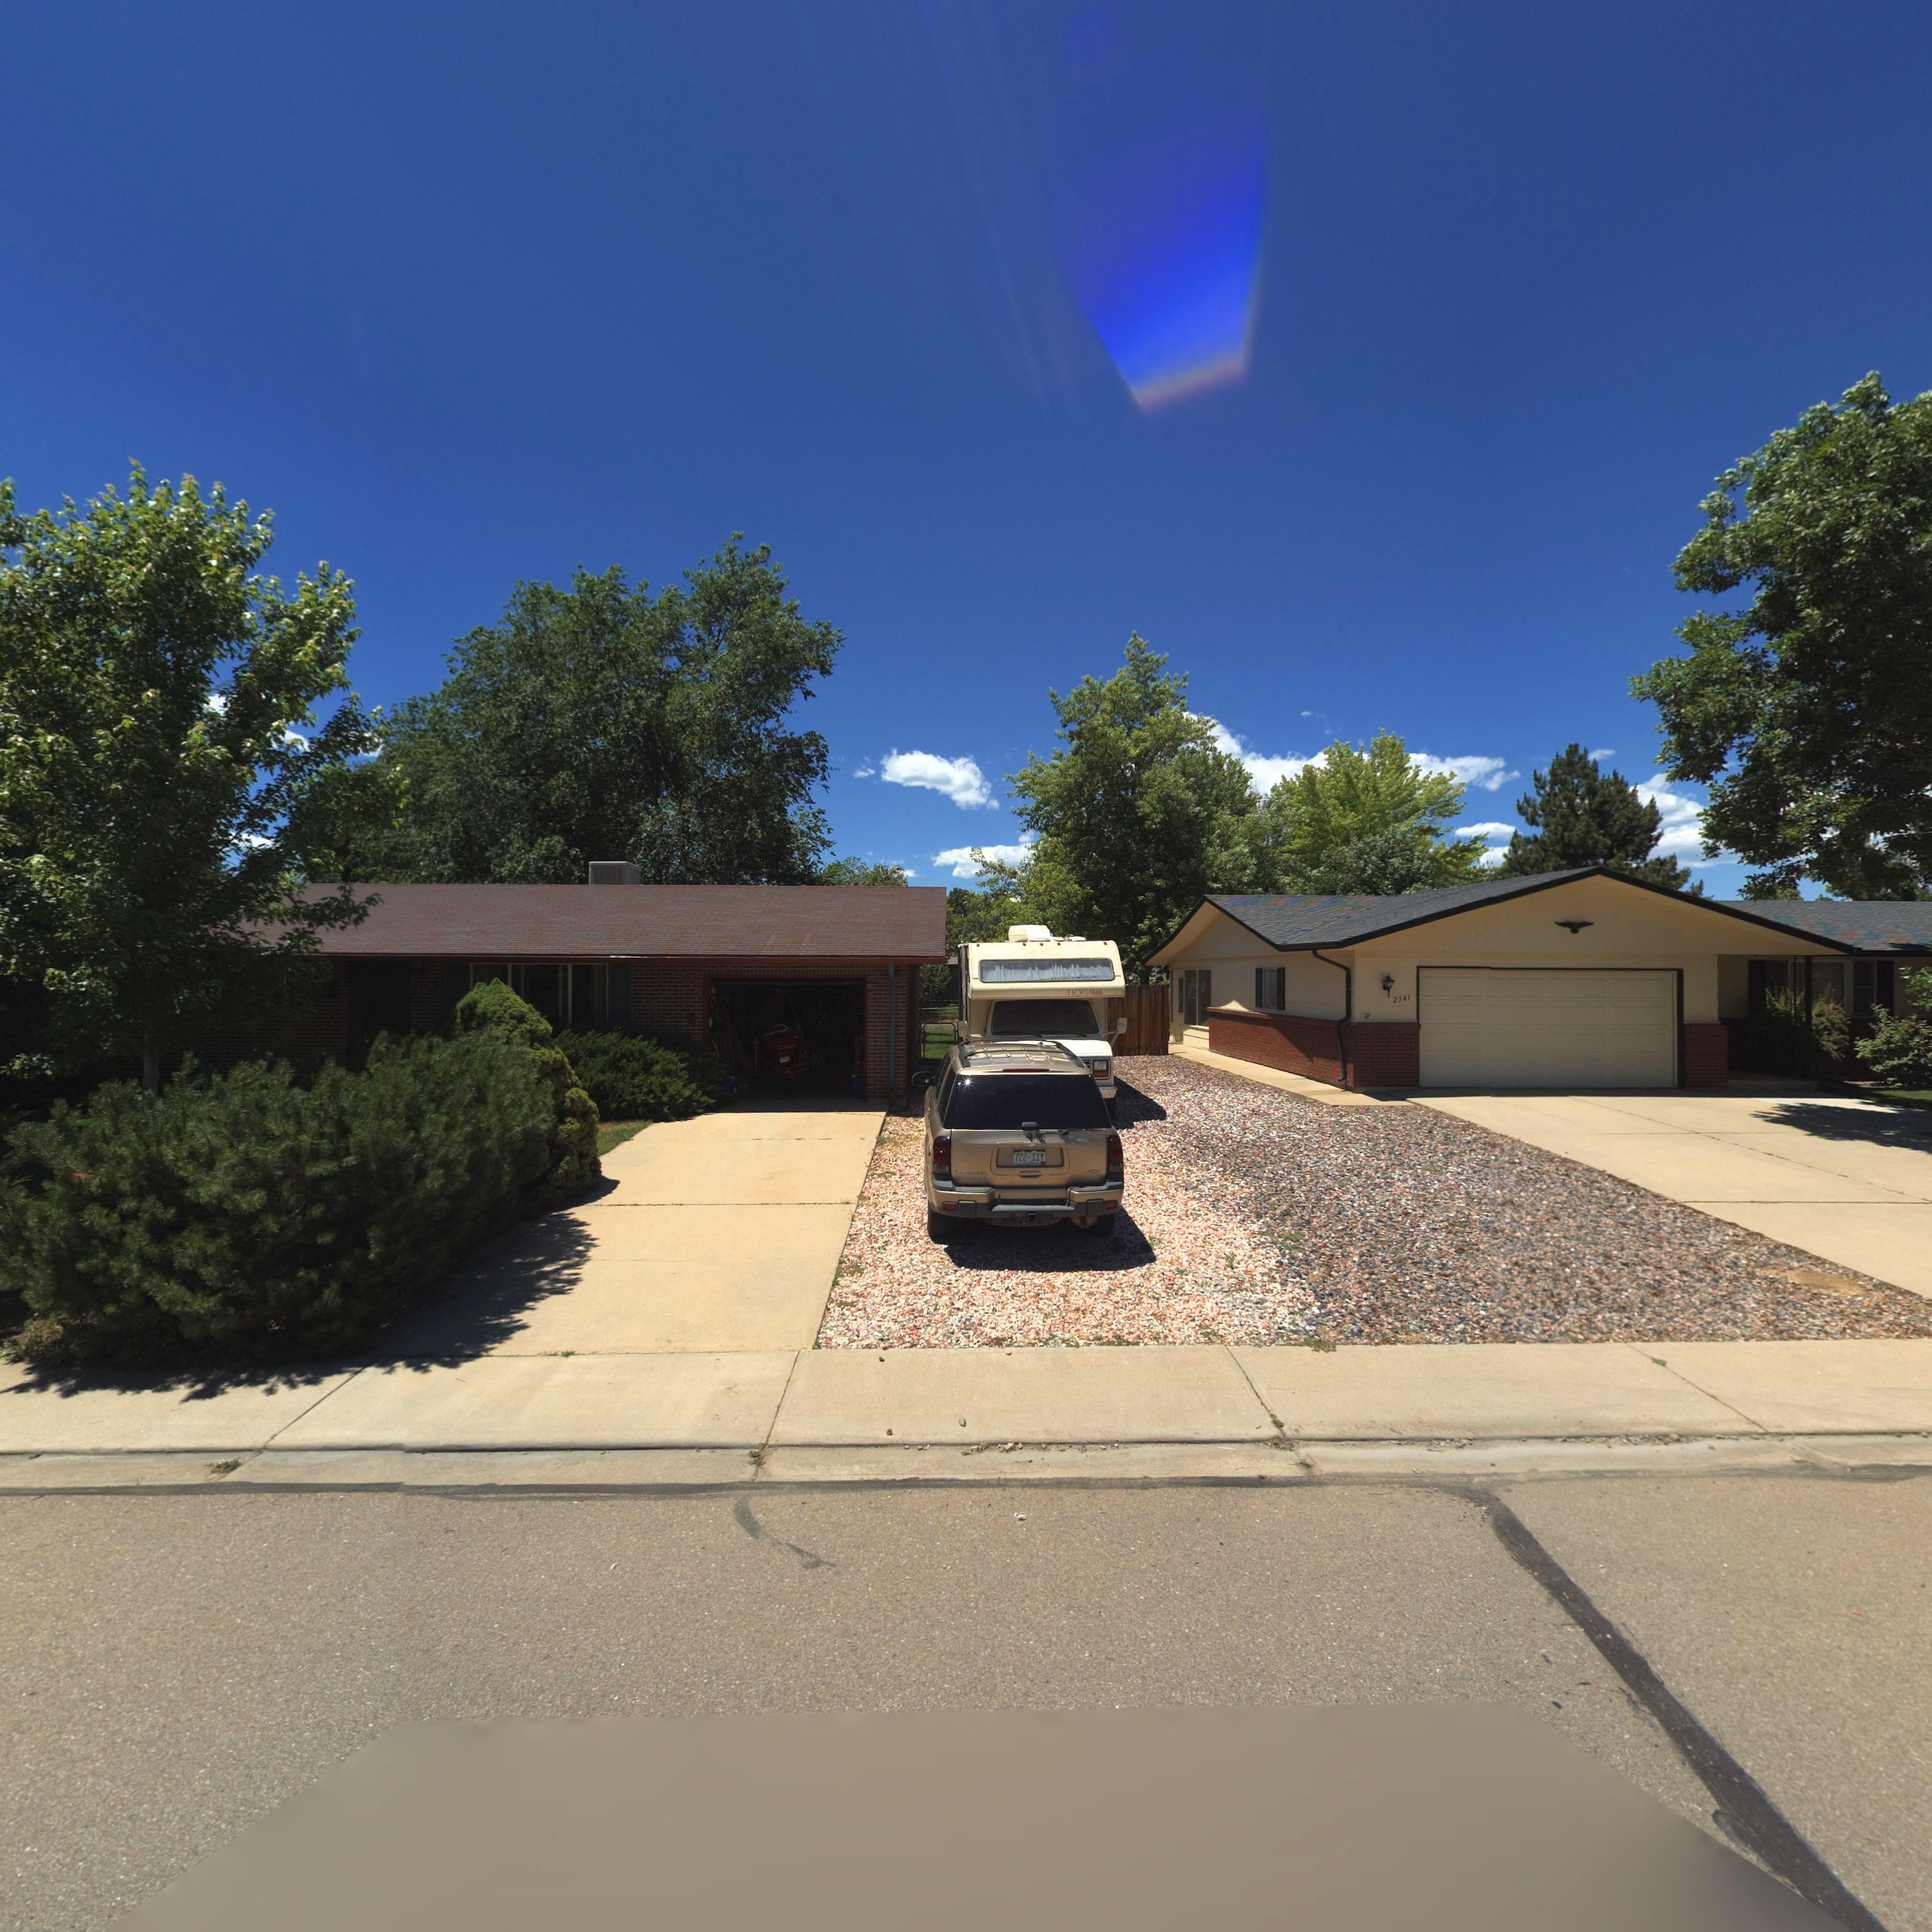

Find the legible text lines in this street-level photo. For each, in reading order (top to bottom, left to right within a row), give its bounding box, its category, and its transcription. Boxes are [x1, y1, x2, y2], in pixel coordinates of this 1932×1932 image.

[1392, 993, 1410, 1004] StreetNumber: 2341